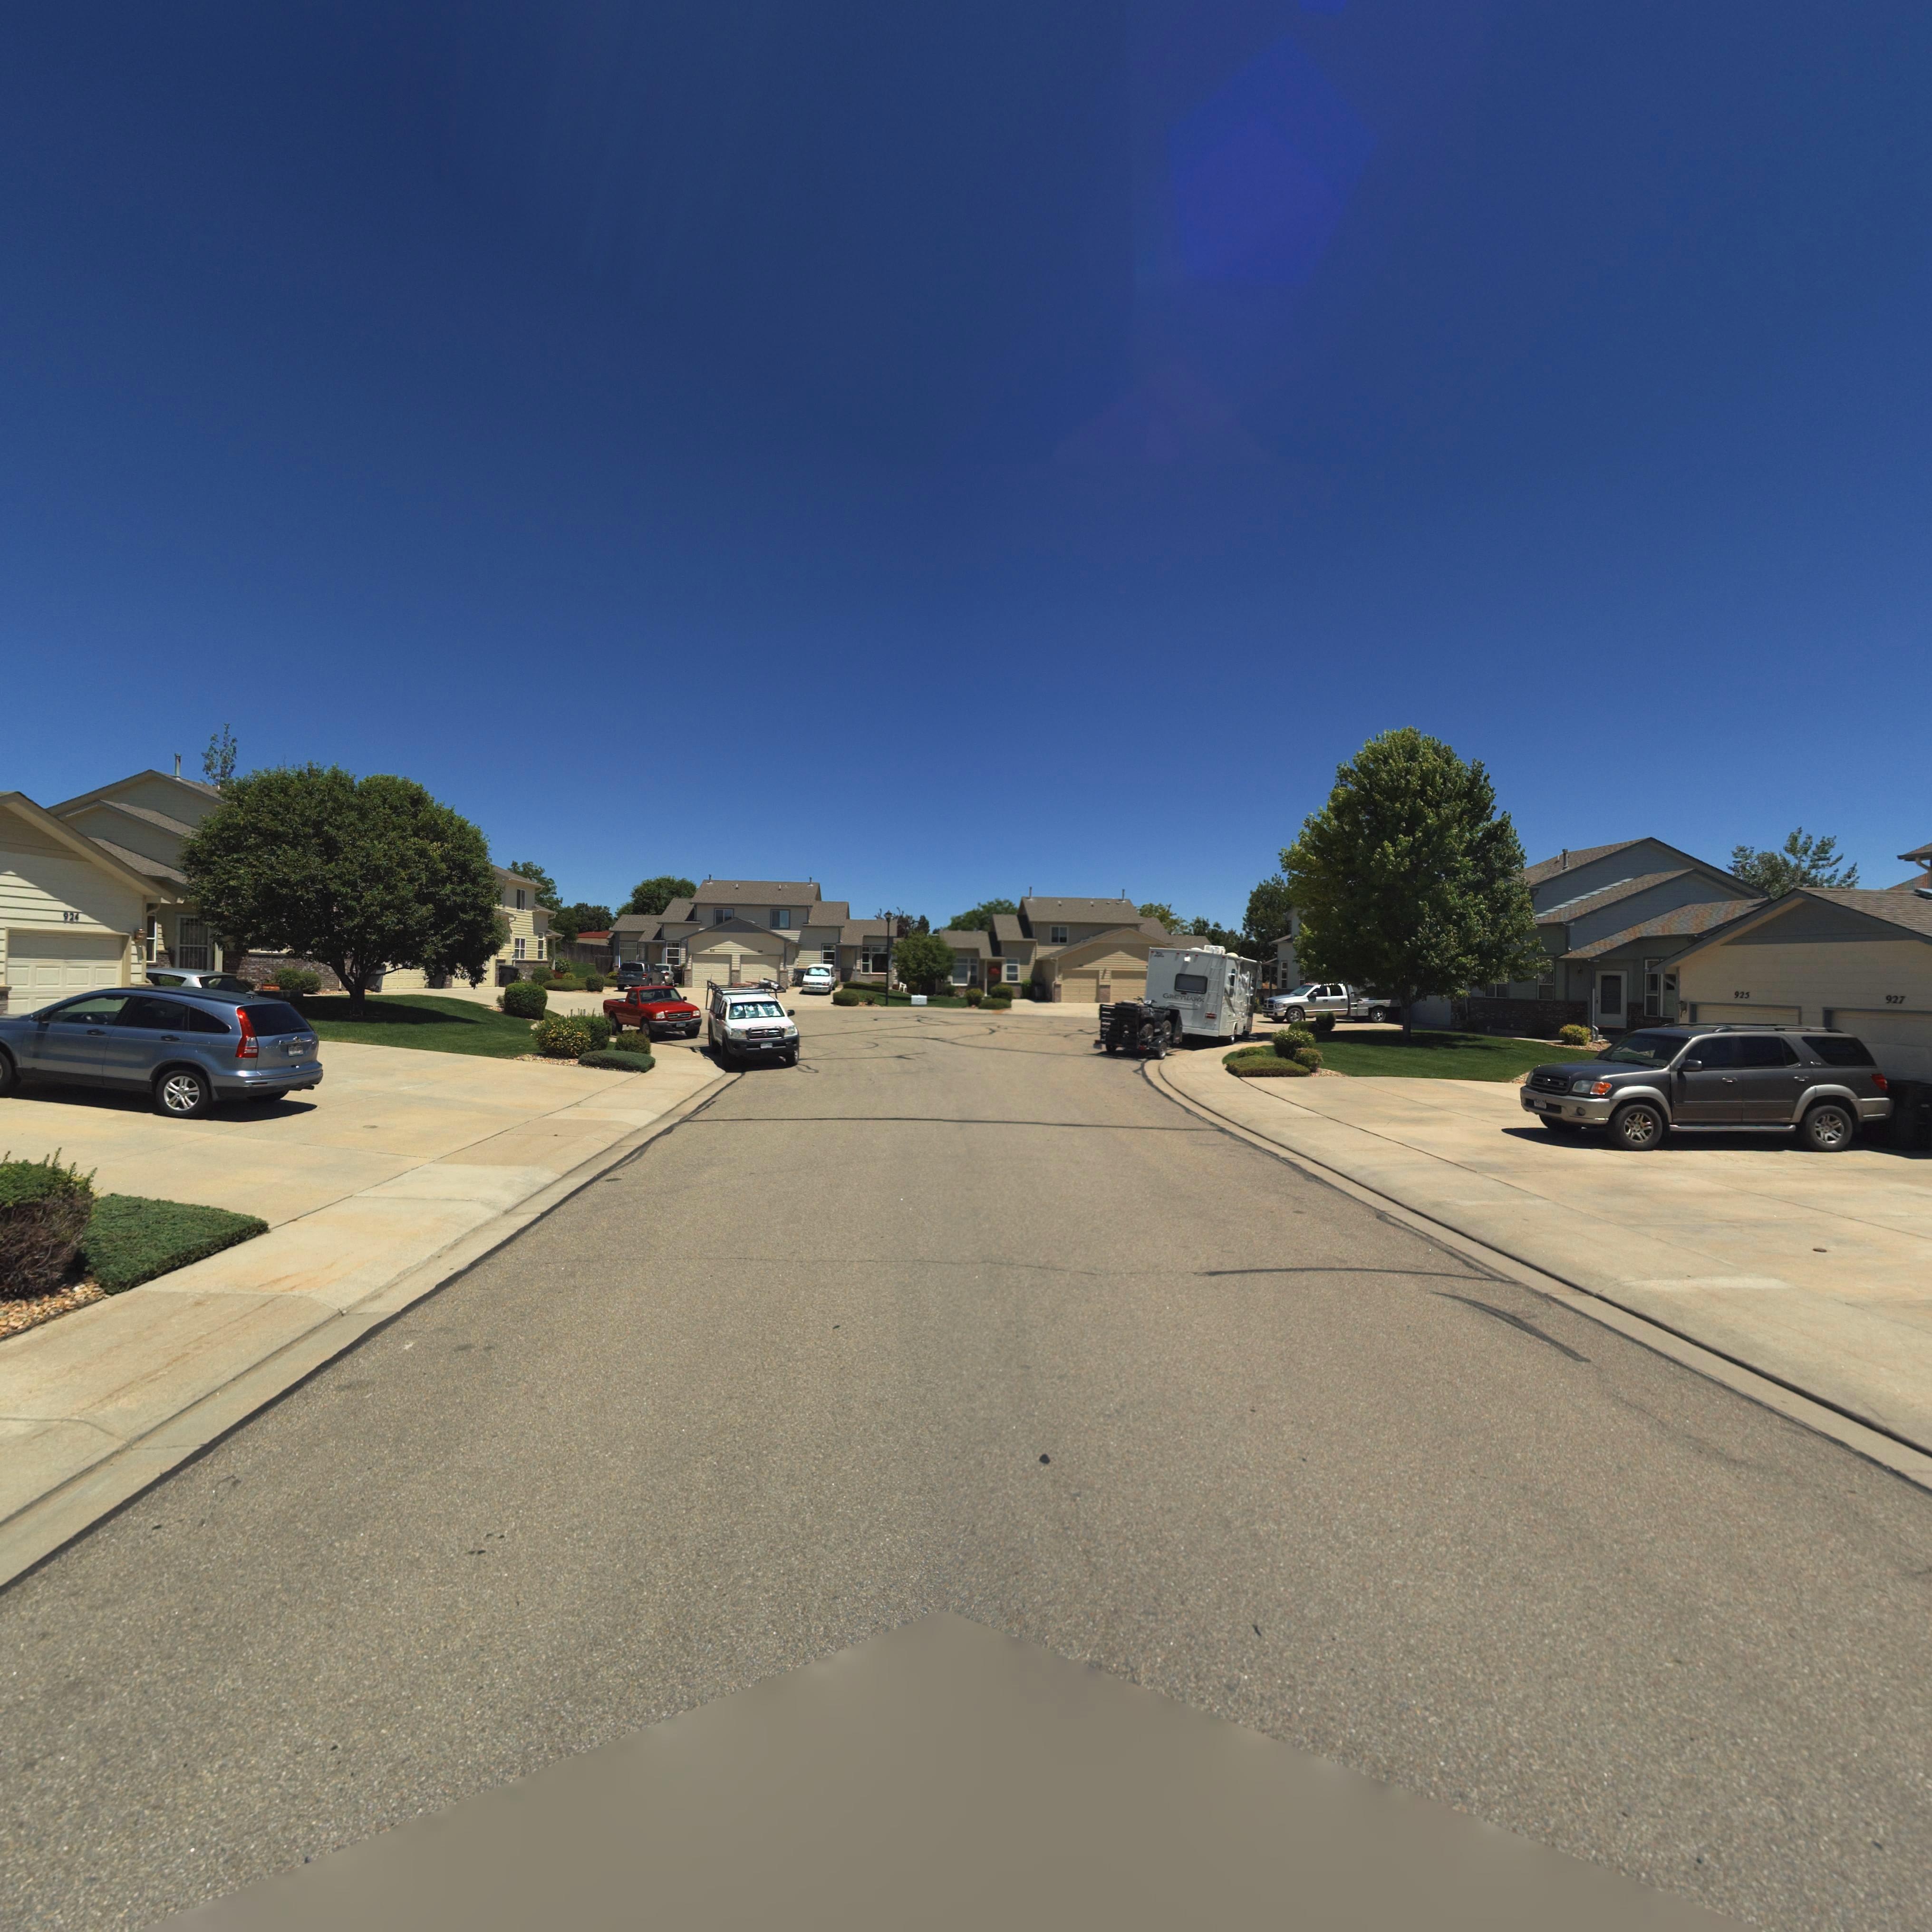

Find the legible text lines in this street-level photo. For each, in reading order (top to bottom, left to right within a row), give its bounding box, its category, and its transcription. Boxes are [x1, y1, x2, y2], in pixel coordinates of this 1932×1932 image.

[63, 911, 80, 921] StreetNumber: 924
[1734, 990, 1750, 999] StreetNumber: 925
[1885, 995, 1906, 1005] StreetNumber: 927